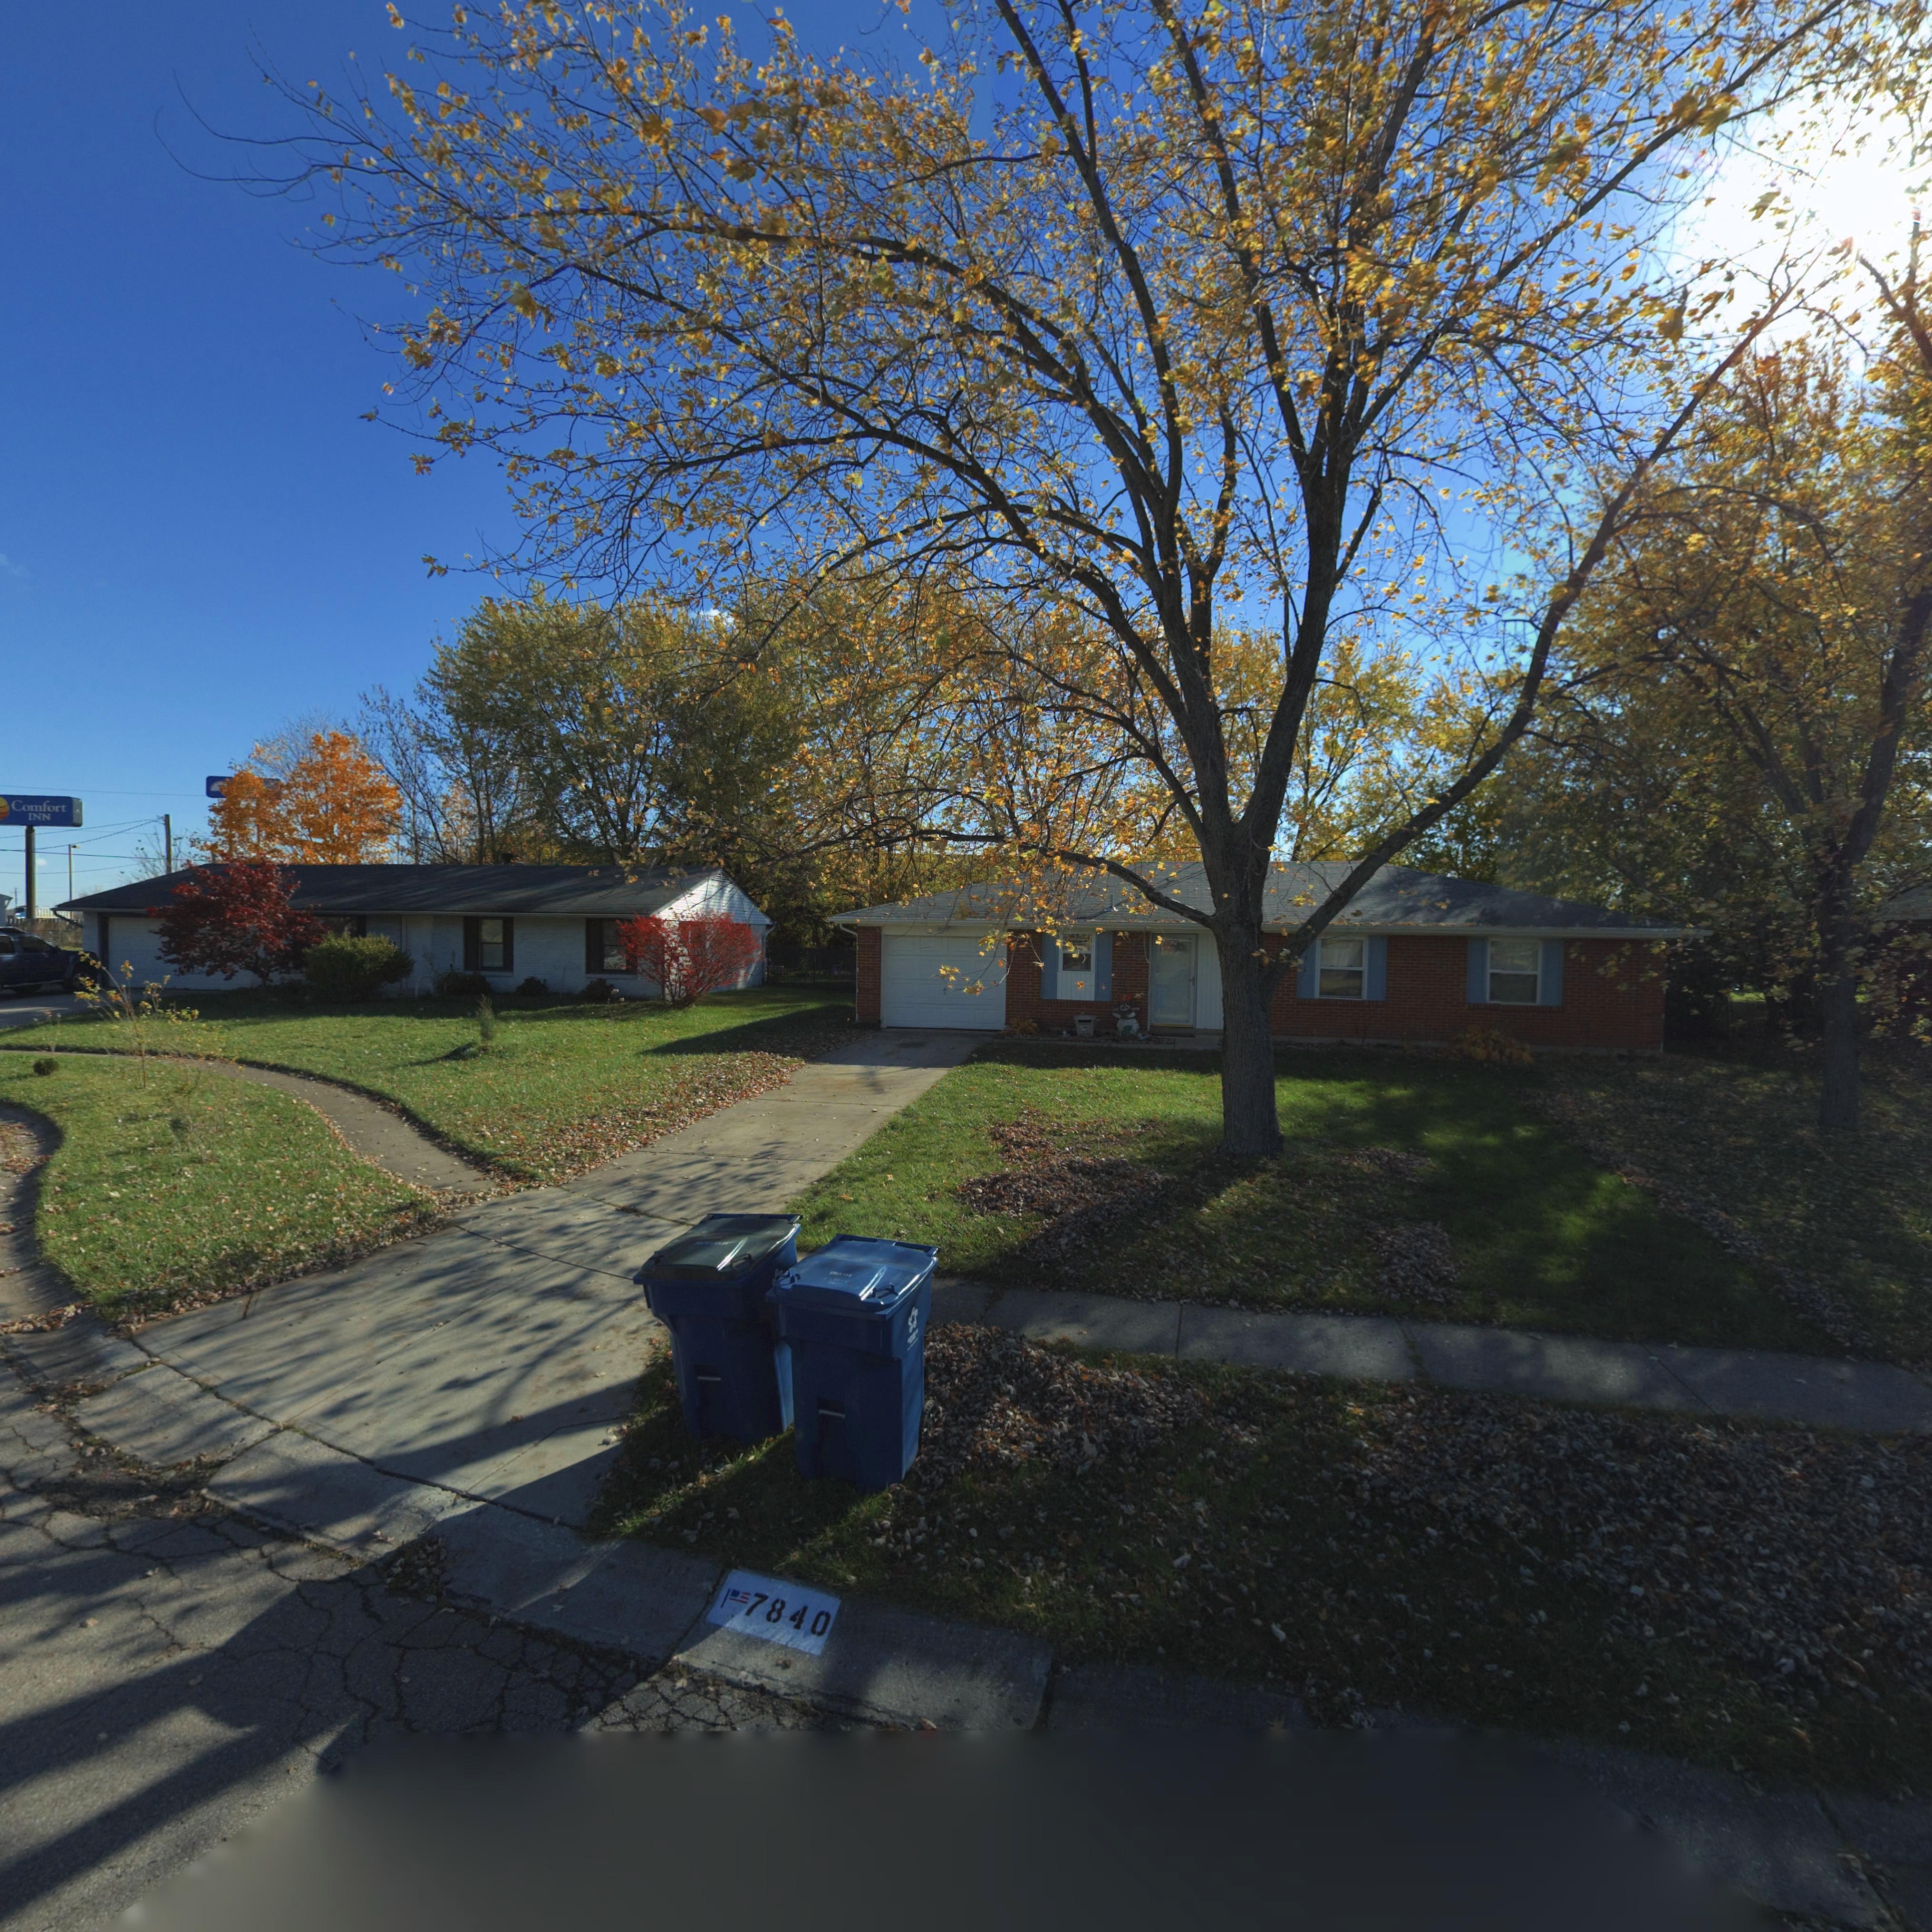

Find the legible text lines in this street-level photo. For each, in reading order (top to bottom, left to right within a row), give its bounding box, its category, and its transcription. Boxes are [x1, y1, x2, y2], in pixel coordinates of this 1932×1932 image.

[10, 799, 68, 813] BusinessName: Comfort
[27, 812, 51, 821] BusinessName: INN
[742, 1590, 833, 1639] StreetNumber: 7840